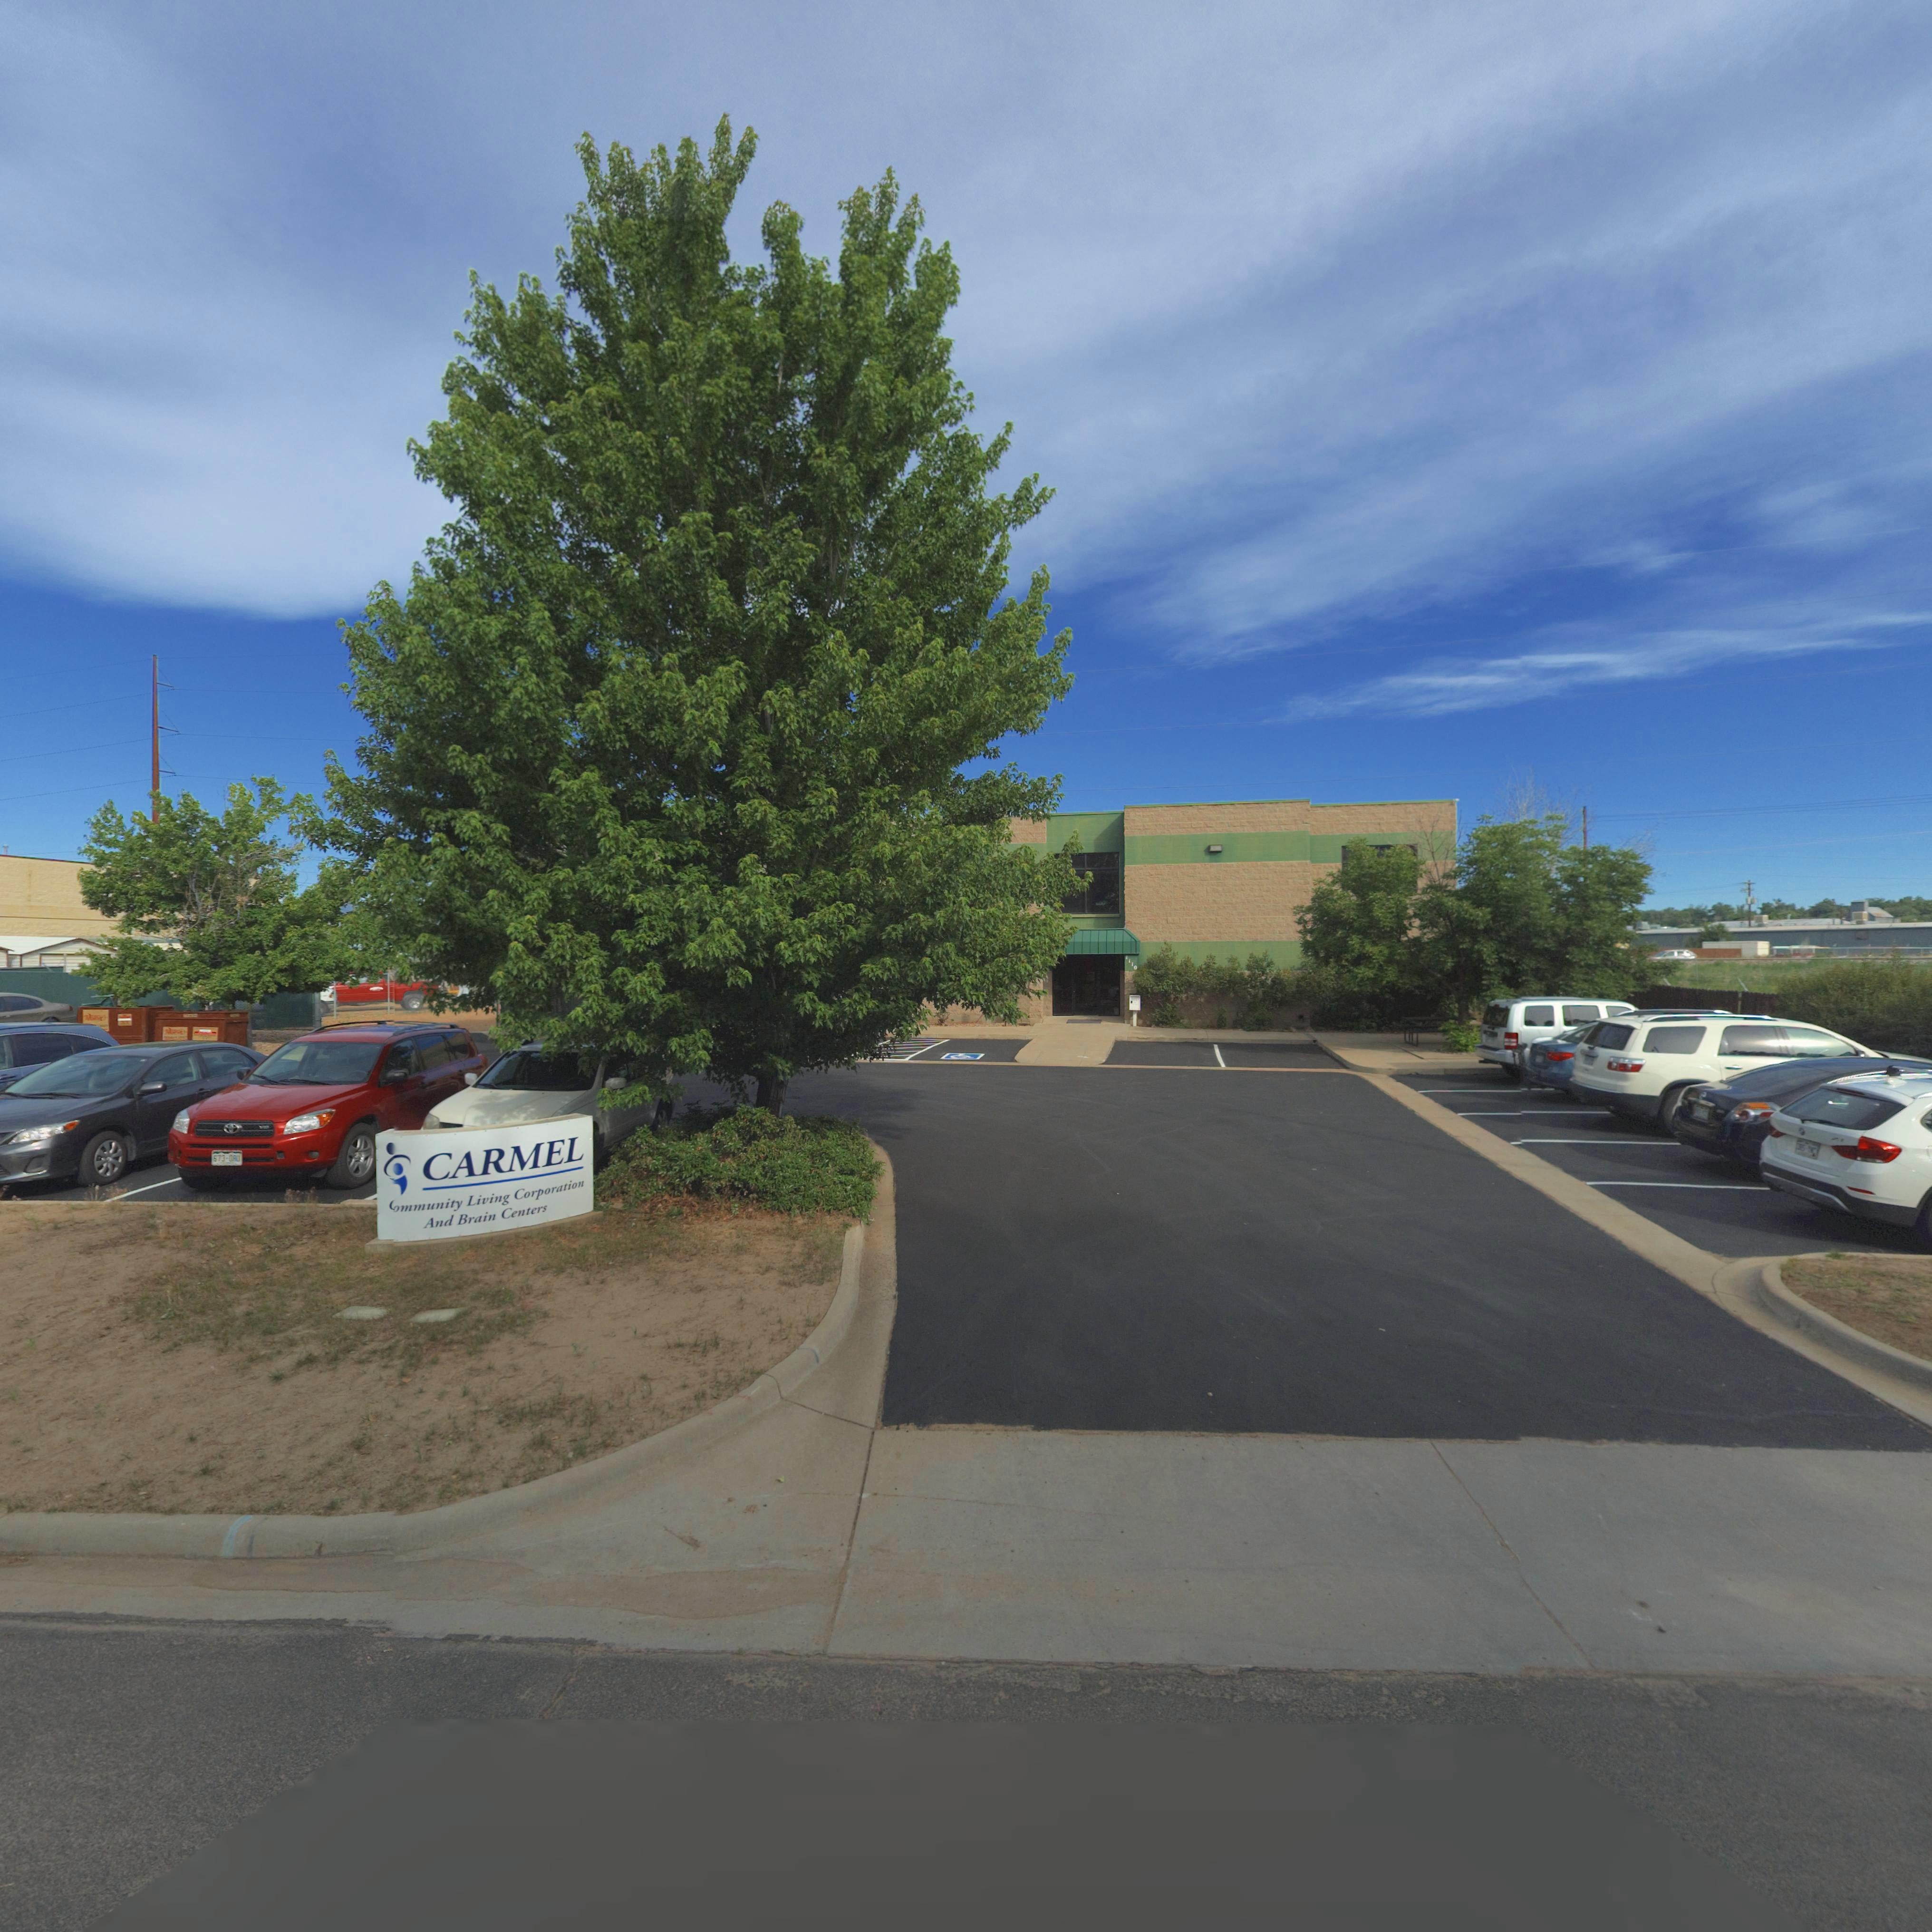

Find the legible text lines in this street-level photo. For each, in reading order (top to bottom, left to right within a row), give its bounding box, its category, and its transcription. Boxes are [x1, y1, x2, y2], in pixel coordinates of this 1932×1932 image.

[1125, 955, 1137, 970] StreetNumber: 1110
[422, 1135, 586, 1181] BusinessName: CARMEL